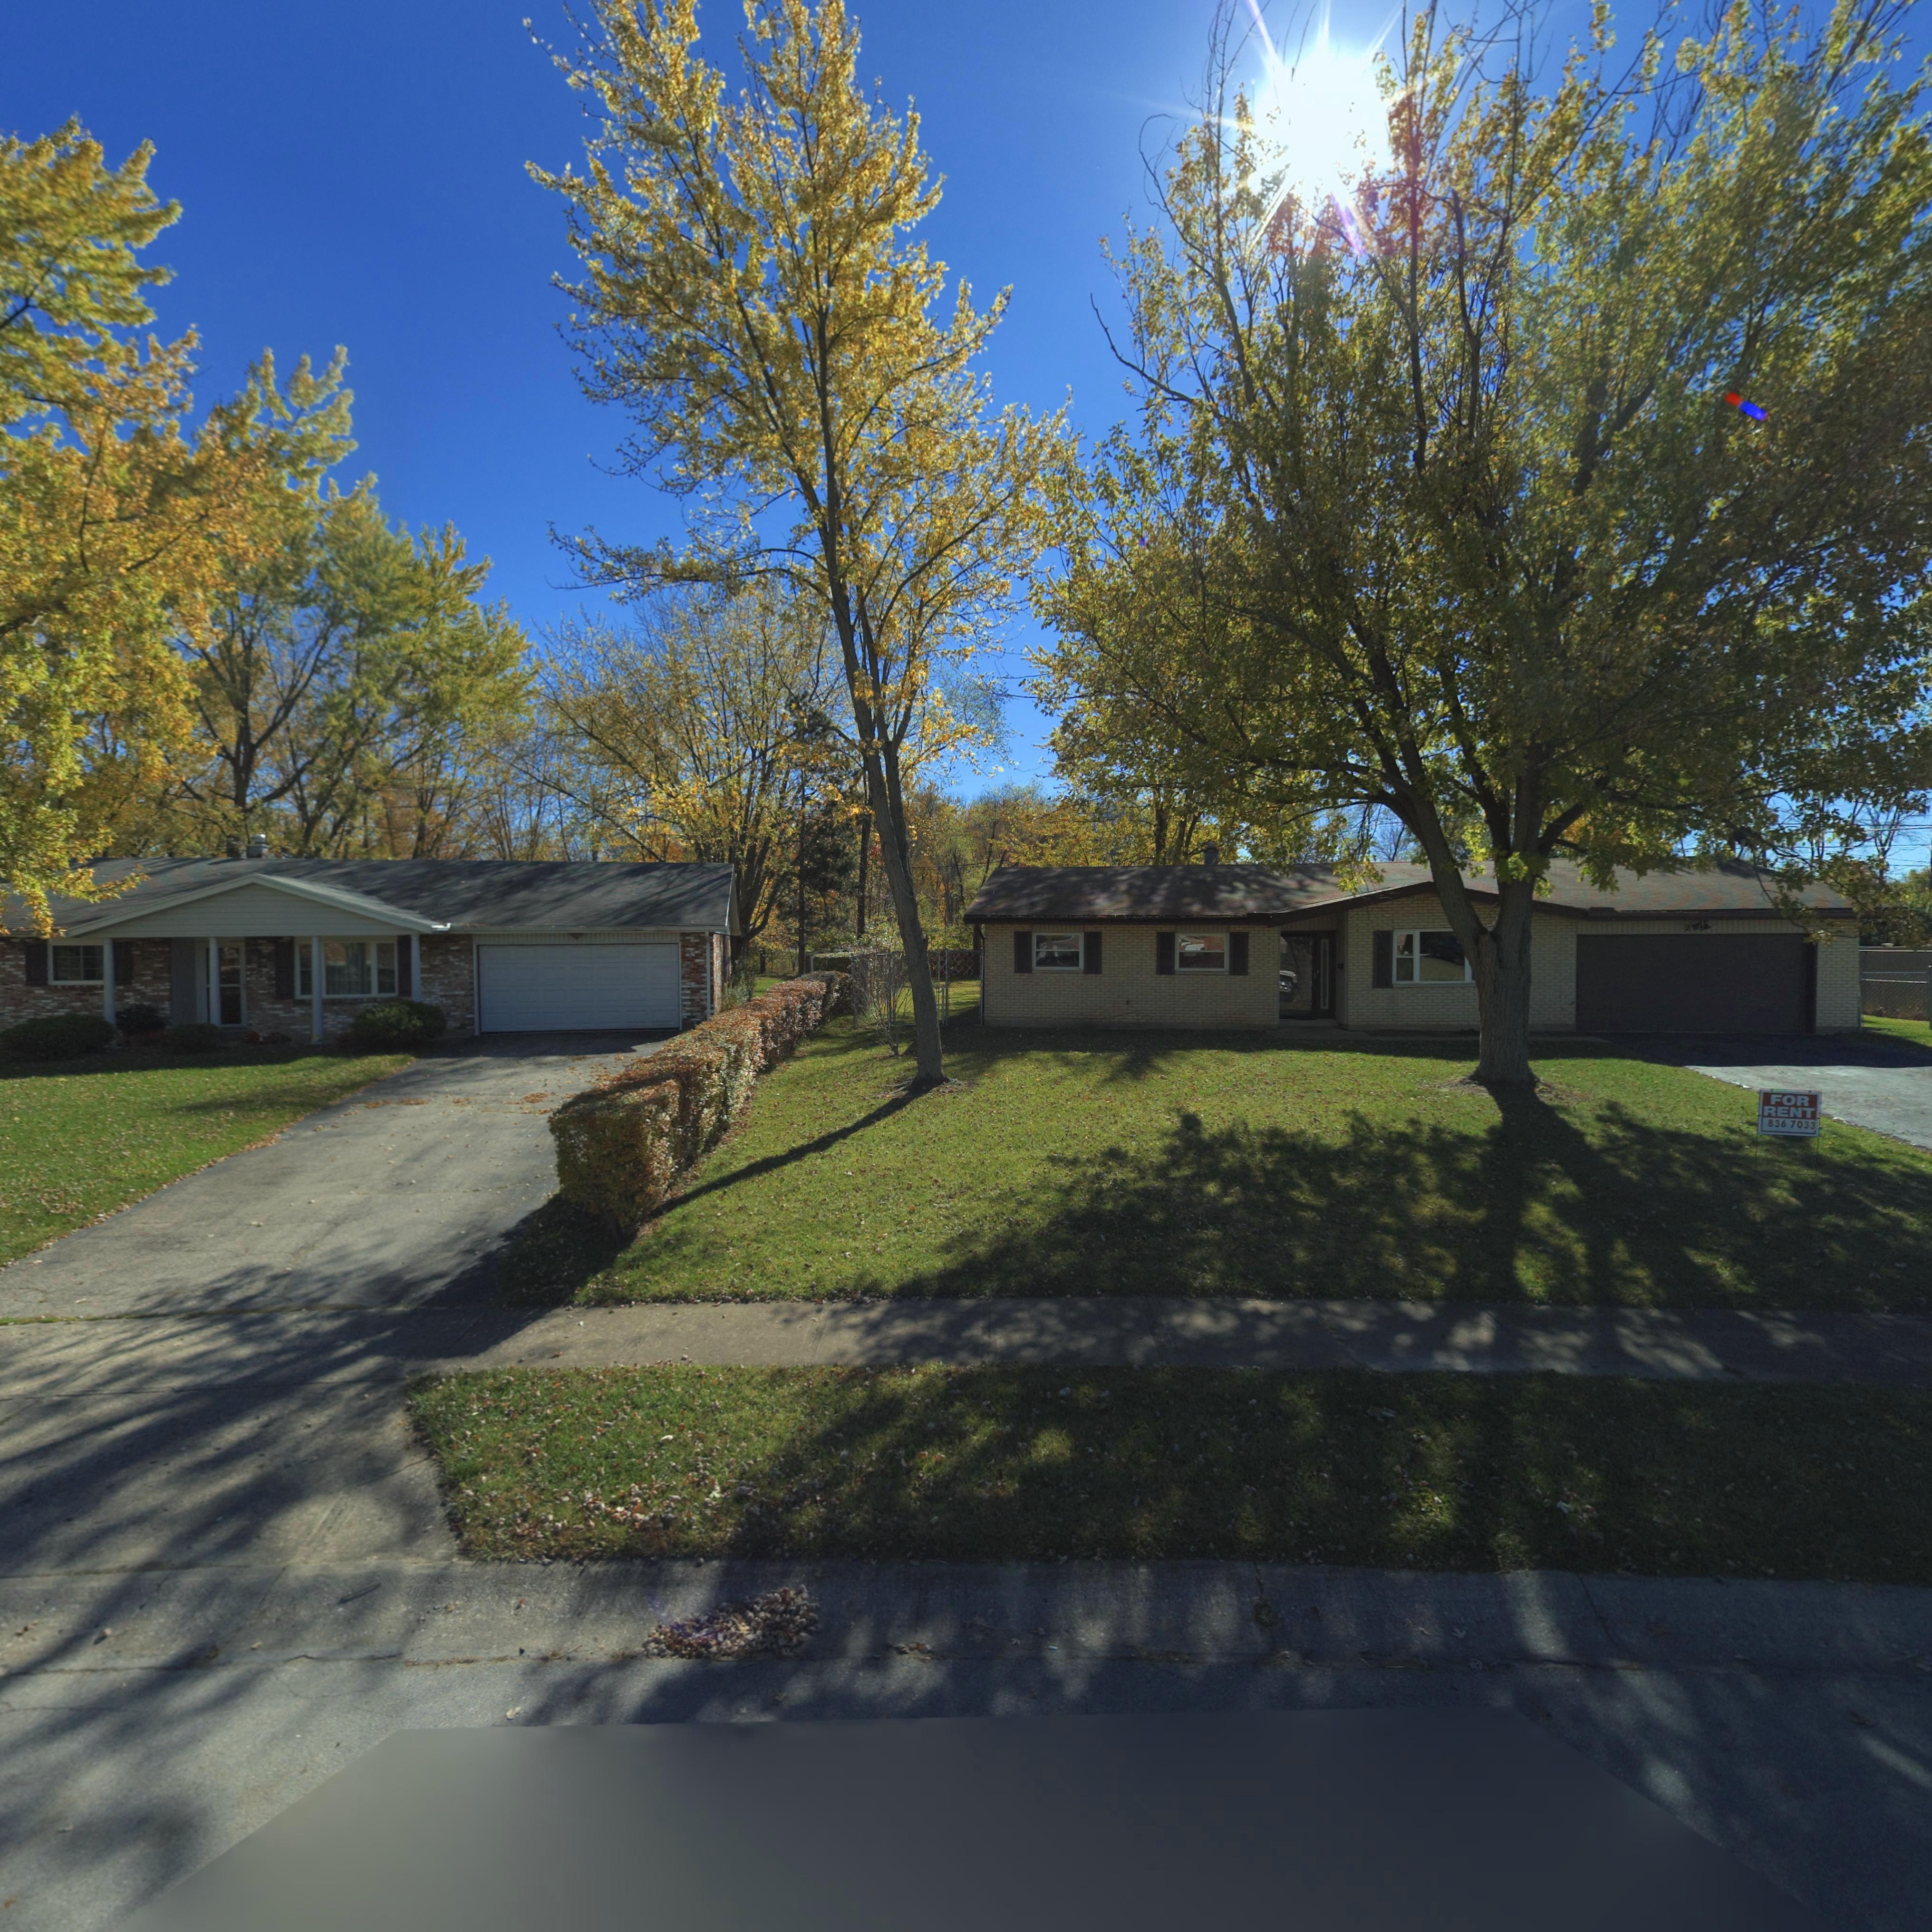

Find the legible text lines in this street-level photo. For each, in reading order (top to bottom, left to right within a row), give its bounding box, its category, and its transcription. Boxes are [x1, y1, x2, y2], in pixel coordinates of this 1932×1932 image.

[1684, 923, 1706, 931] StreetNumber: 2*6
[249, 966, 275, 982] StreetNumber: 214